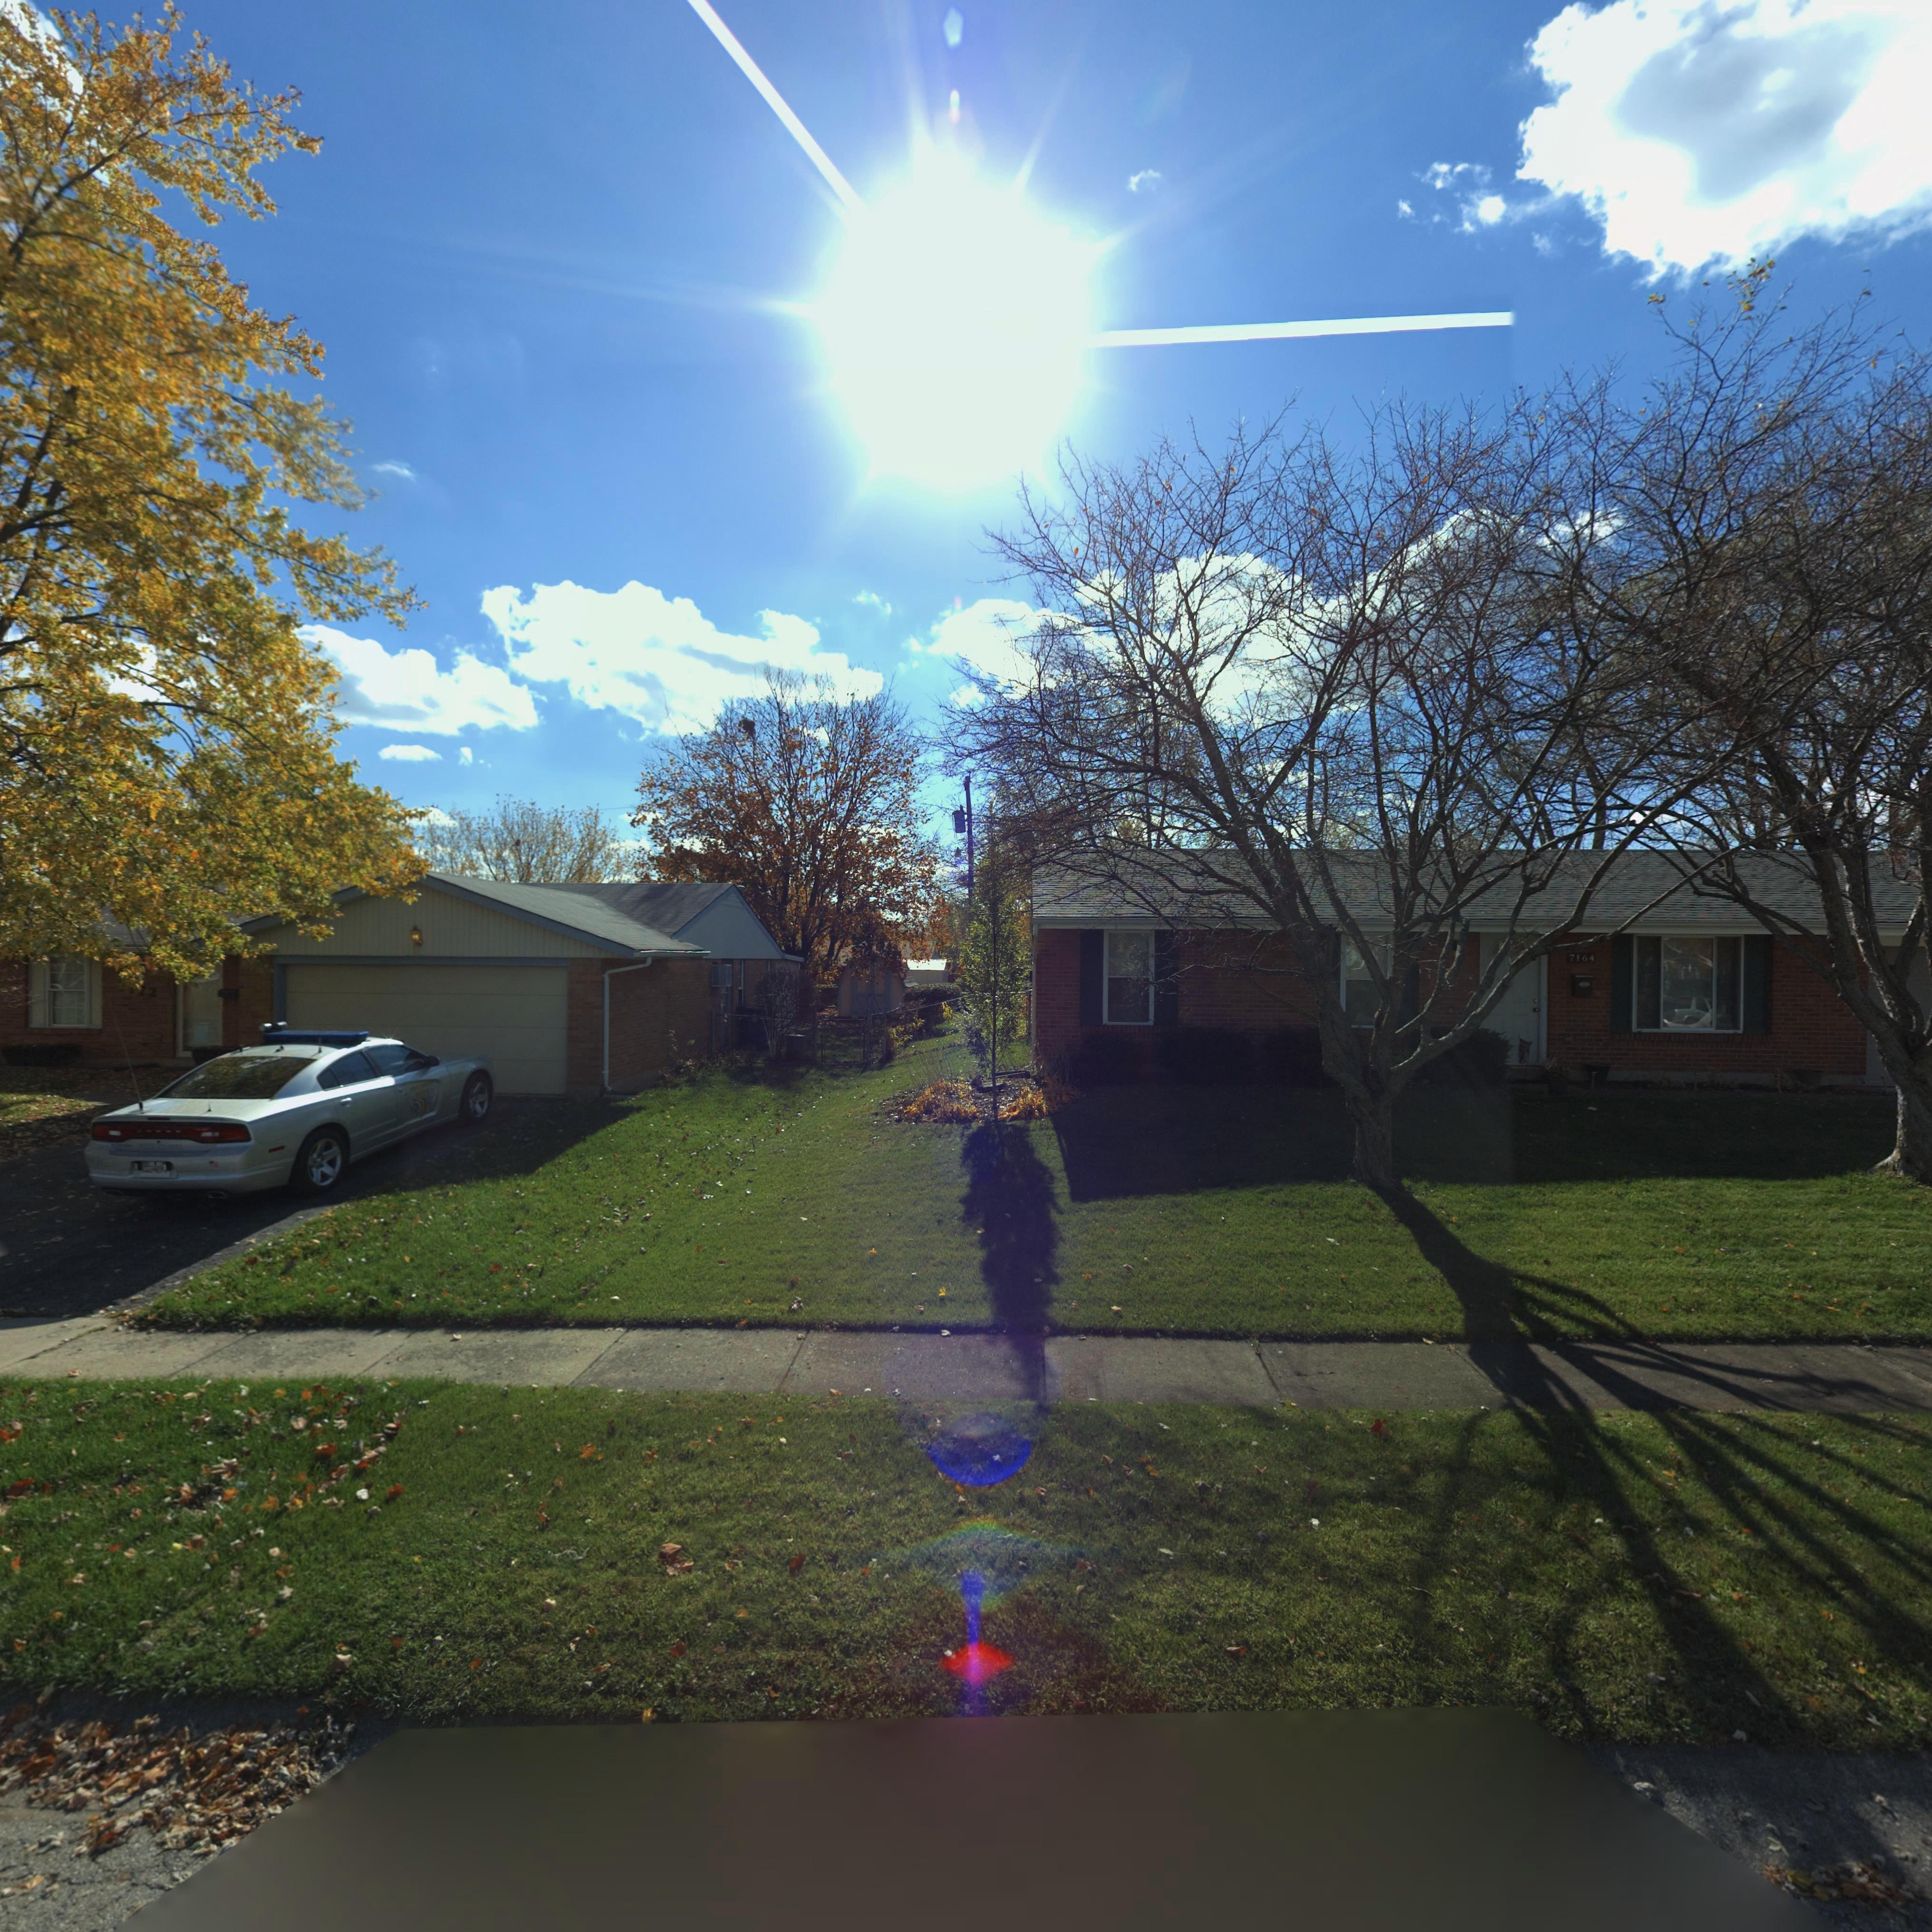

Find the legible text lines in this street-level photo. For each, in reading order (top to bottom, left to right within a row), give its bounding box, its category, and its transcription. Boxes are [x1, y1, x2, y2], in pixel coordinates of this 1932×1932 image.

[1567, 953, 1596, 963] StreetNumber: 7164
[138, 985, 158, 999] StreetNumber: 72